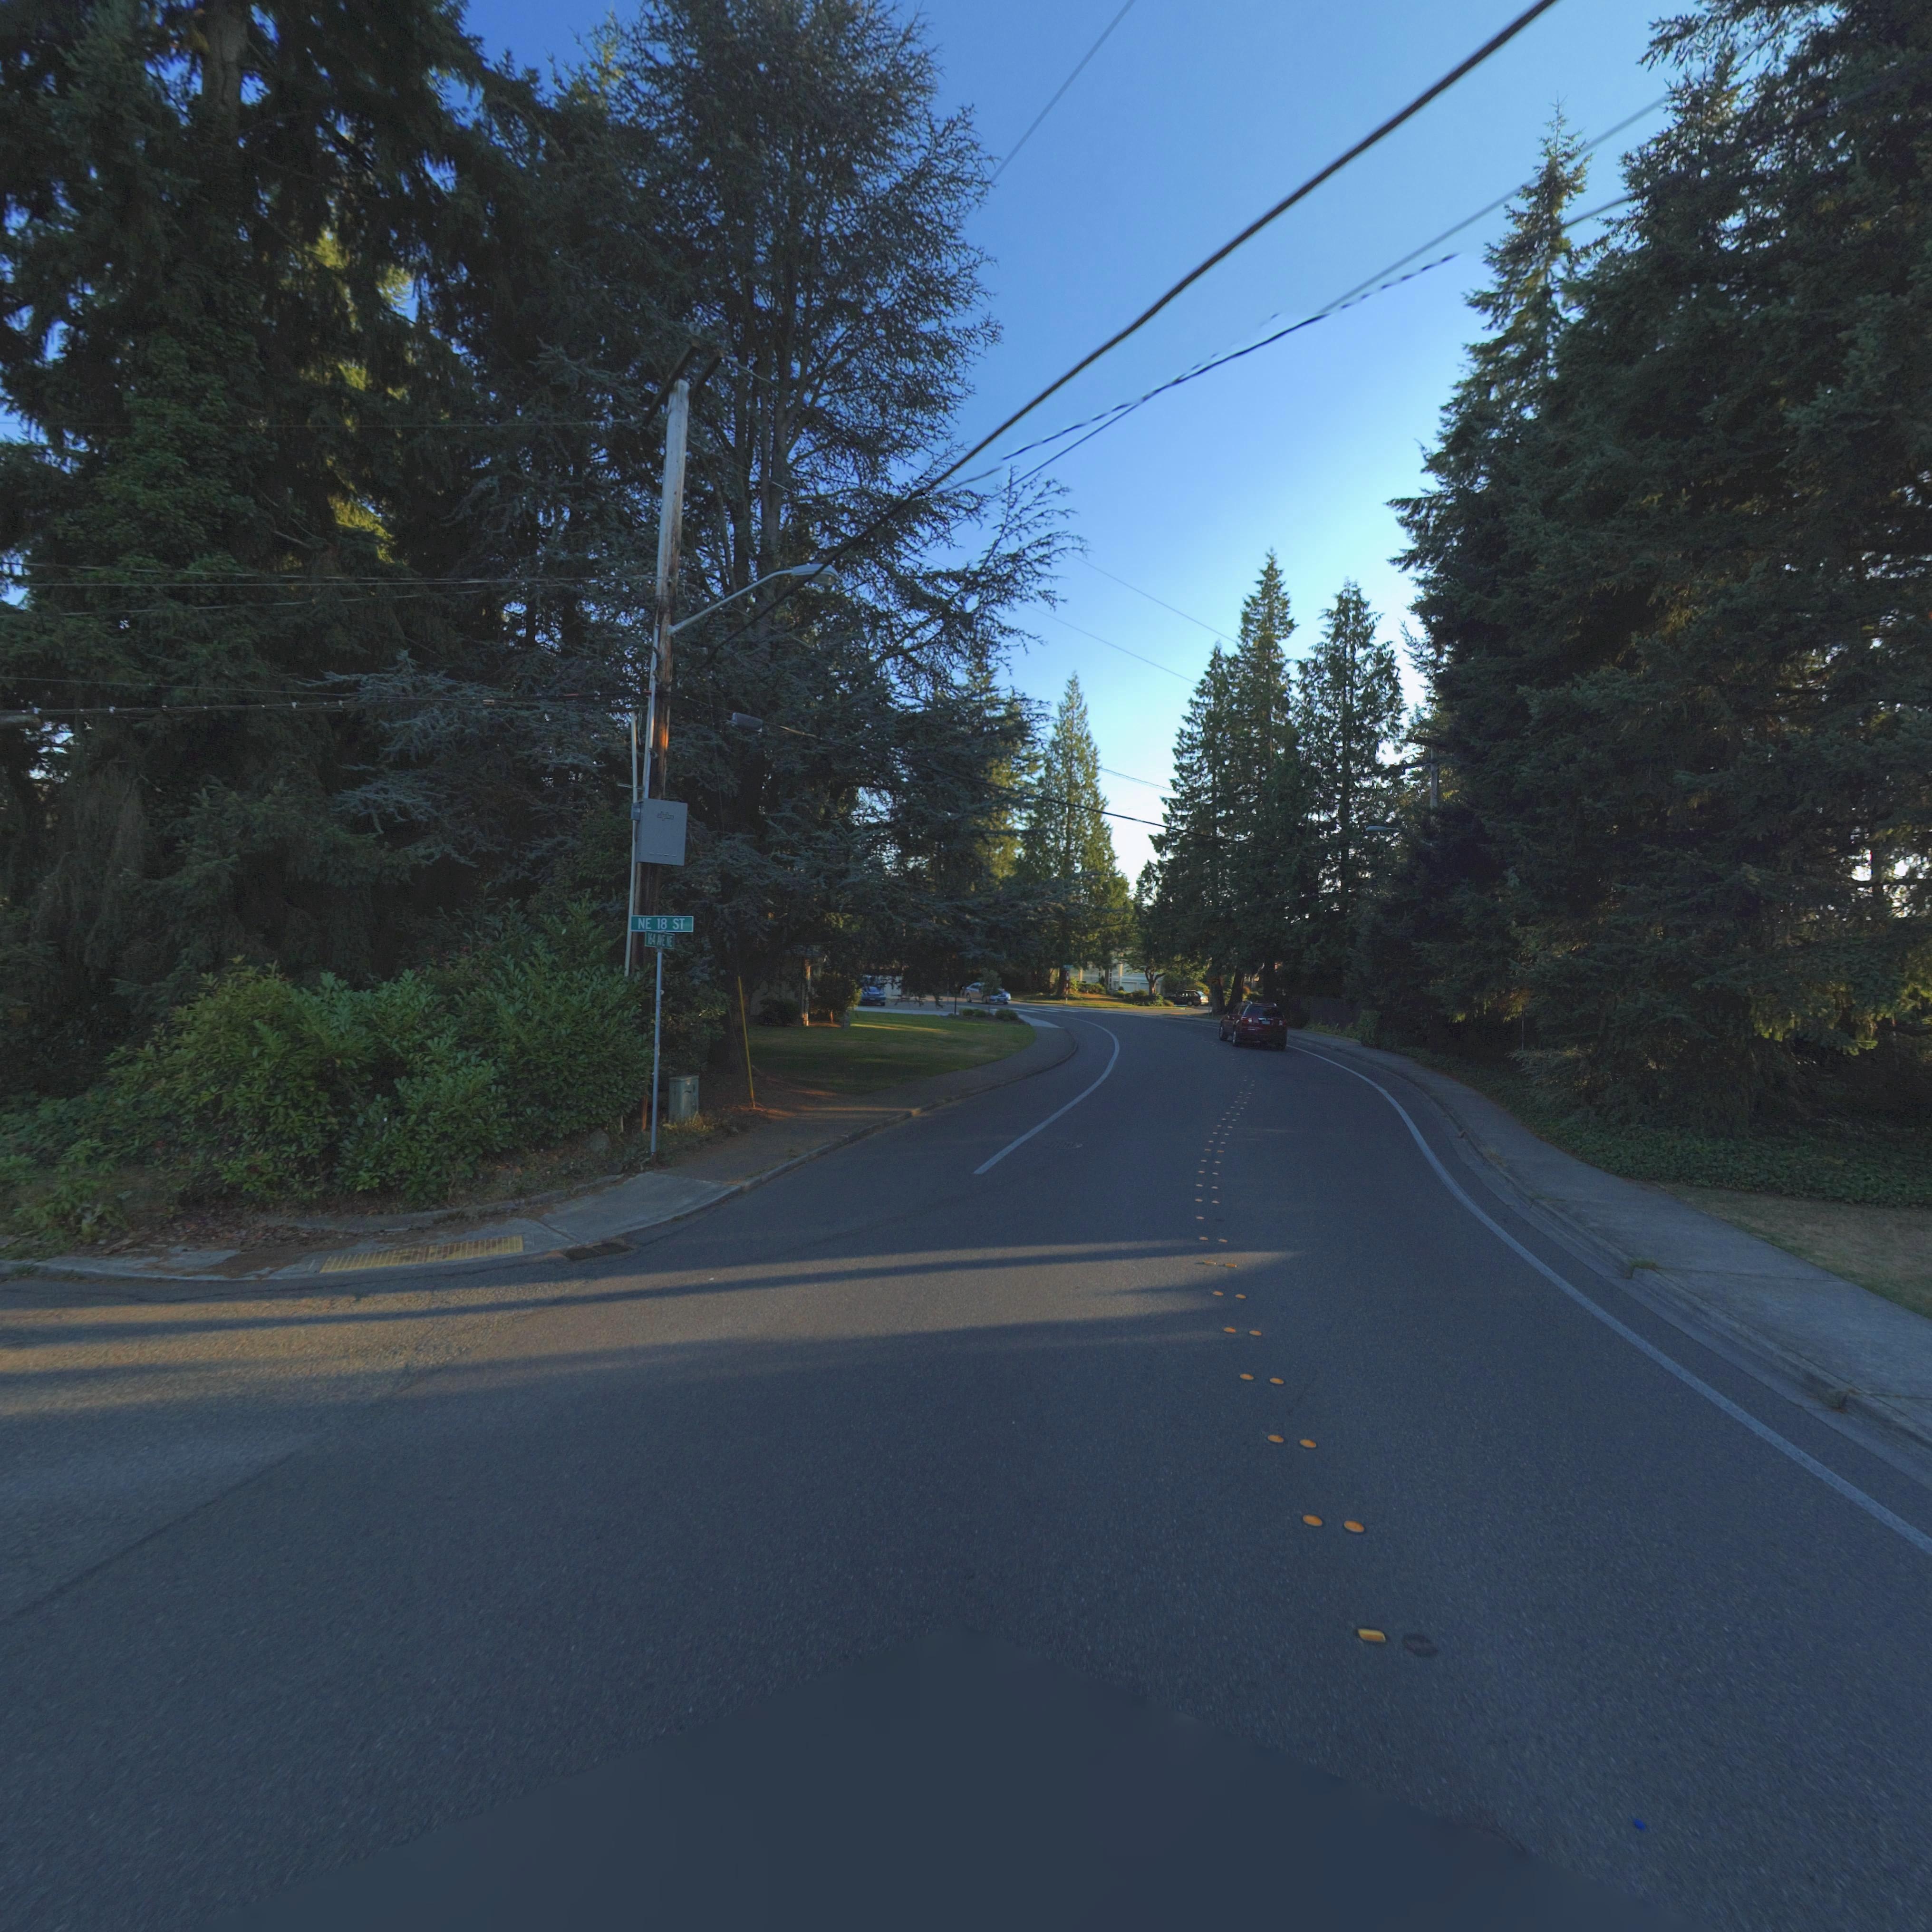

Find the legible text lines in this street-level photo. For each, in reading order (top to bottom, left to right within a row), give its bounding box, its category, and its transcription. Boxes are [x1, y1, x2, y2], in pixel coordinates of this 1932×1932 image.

[638, 918, 685, 929] StreetName: NE 18 ST
[647, 933, 672, 947] StreetName: 164 A*E NE